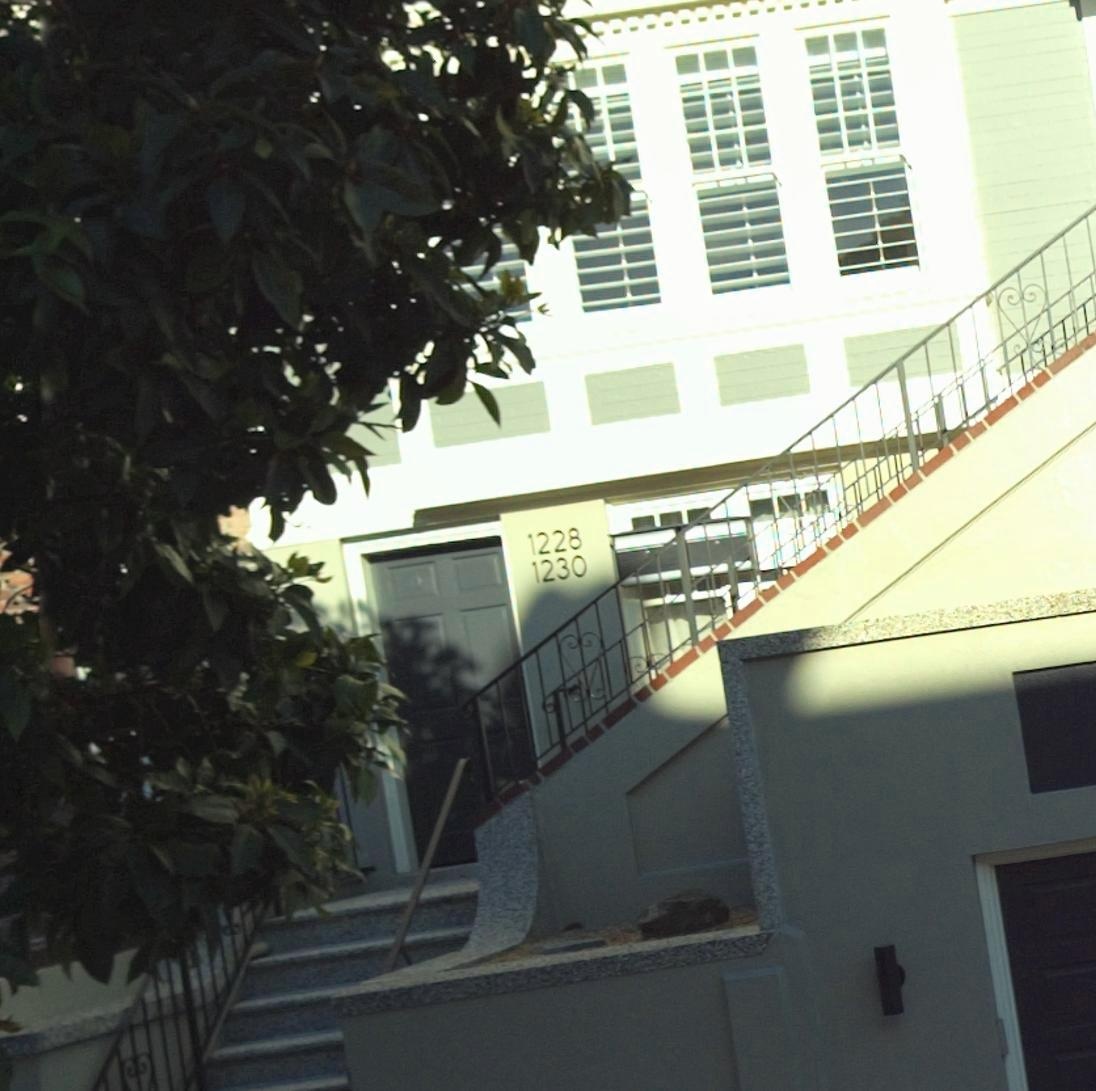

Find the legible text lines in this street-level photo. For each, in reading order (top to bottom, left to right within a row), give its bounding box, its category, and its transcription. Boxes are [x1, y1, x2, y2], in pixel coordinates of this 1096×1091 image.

[525, 525, 584, 559] StreetNumber: 1228
[530, 552, 589, 586] StreetNumber: 1230